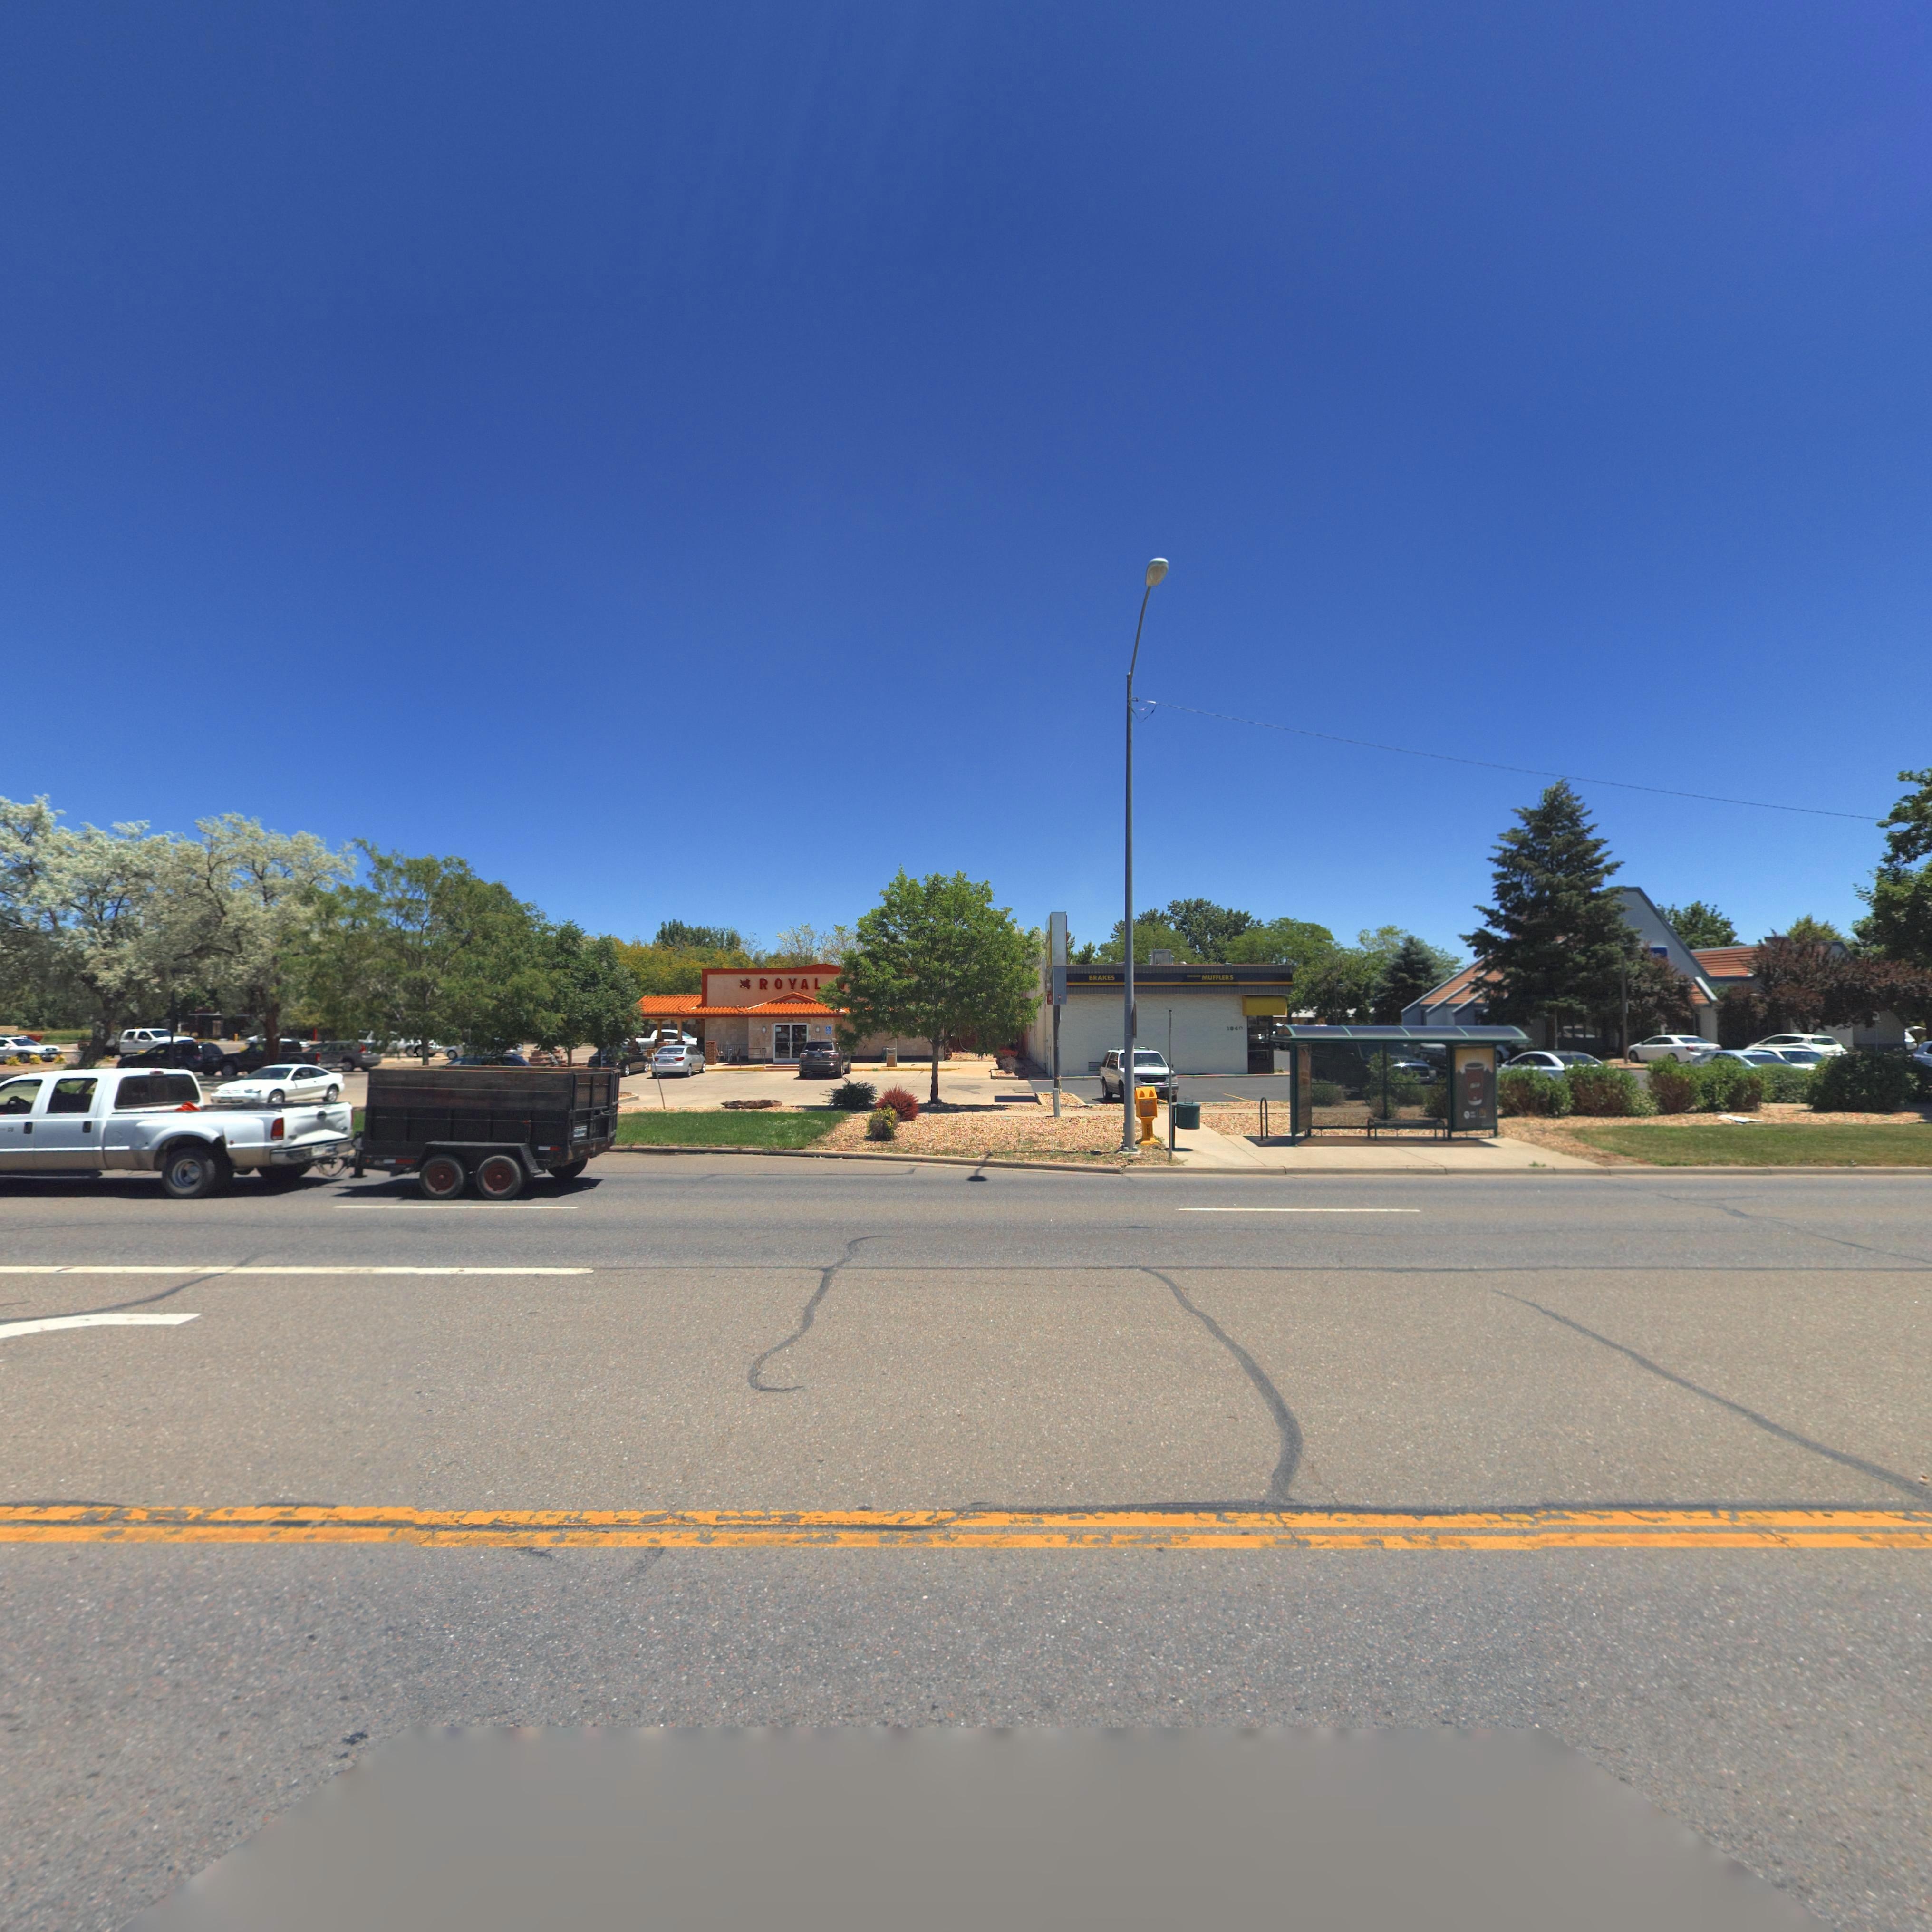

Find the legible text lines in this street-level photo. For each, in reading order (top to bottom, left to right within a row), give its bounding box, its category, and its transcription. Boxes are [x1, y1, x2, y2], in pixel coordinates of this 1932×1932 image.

[1654, 952, 1661, 958] BusinessName: e
[758, 977, 822, 990] BusinessName: ROYAL
[1226, 1025, 1243, 1031] StreetNumber: 1*40